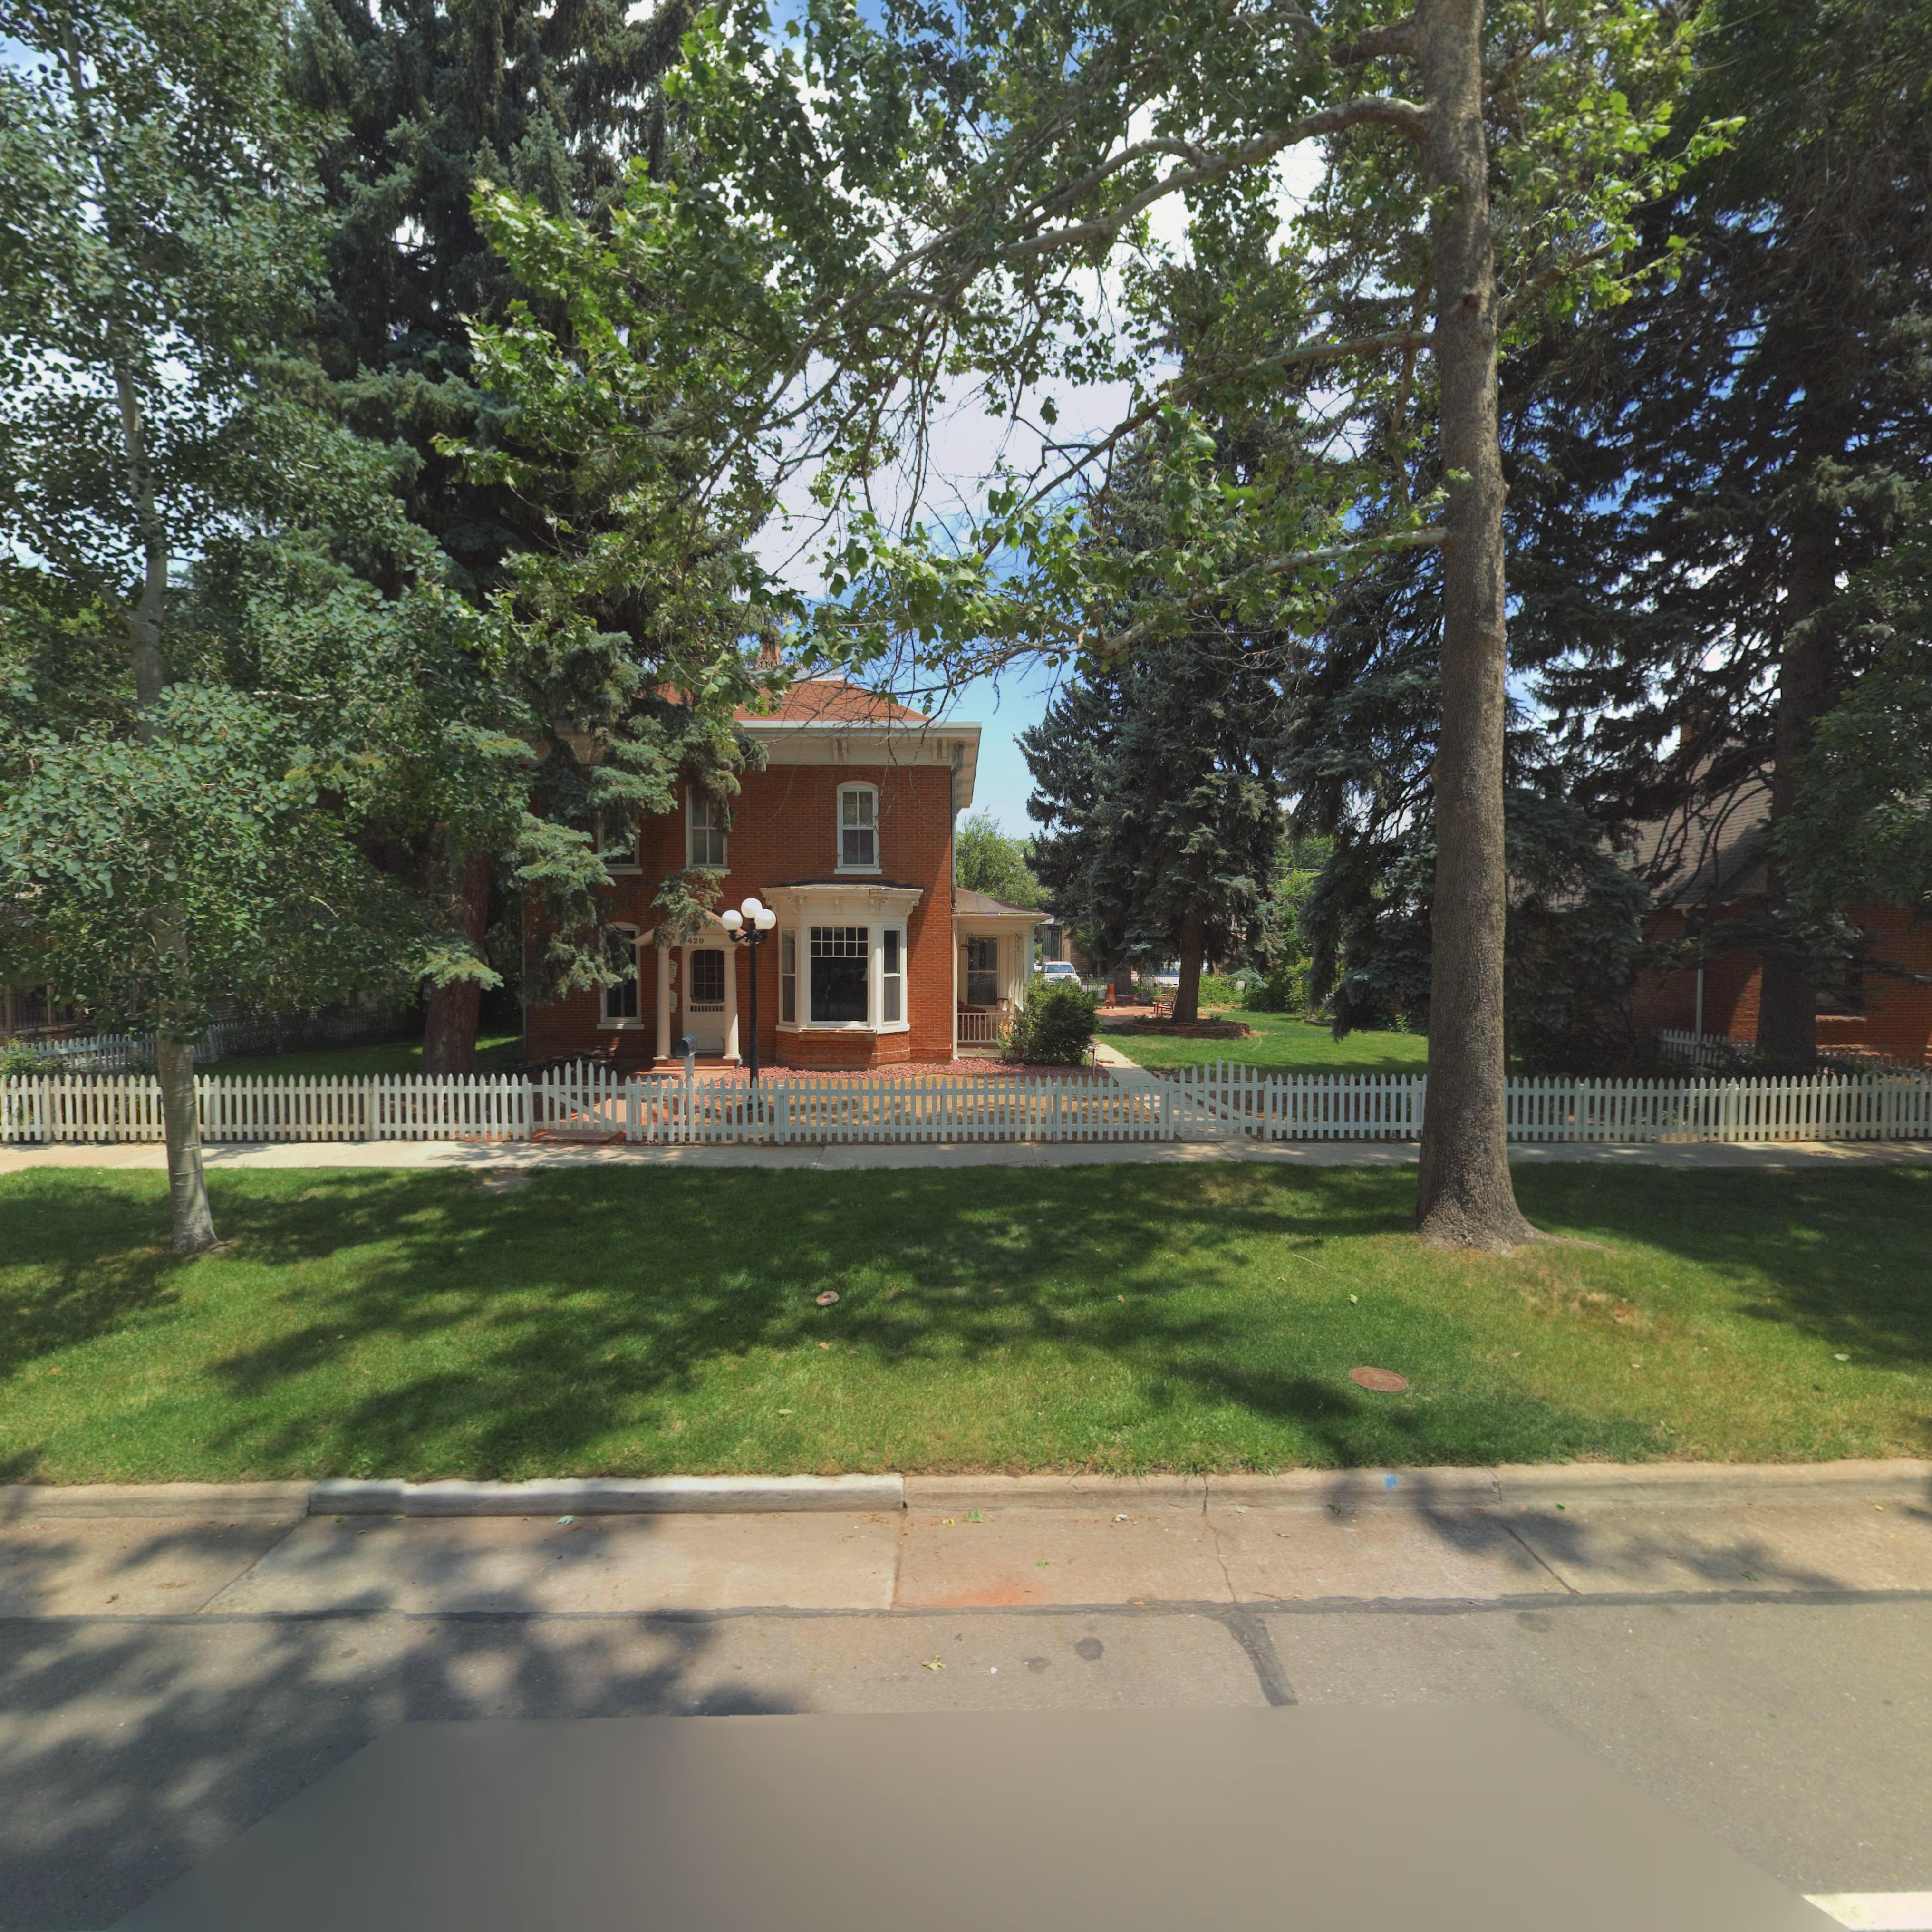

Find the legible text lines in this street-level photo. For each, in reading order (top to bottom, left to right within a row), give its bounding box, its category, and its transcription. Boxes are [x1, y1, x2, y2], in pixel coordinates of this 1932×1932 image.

[686, 937, 704, 944] StreetNumber: 420